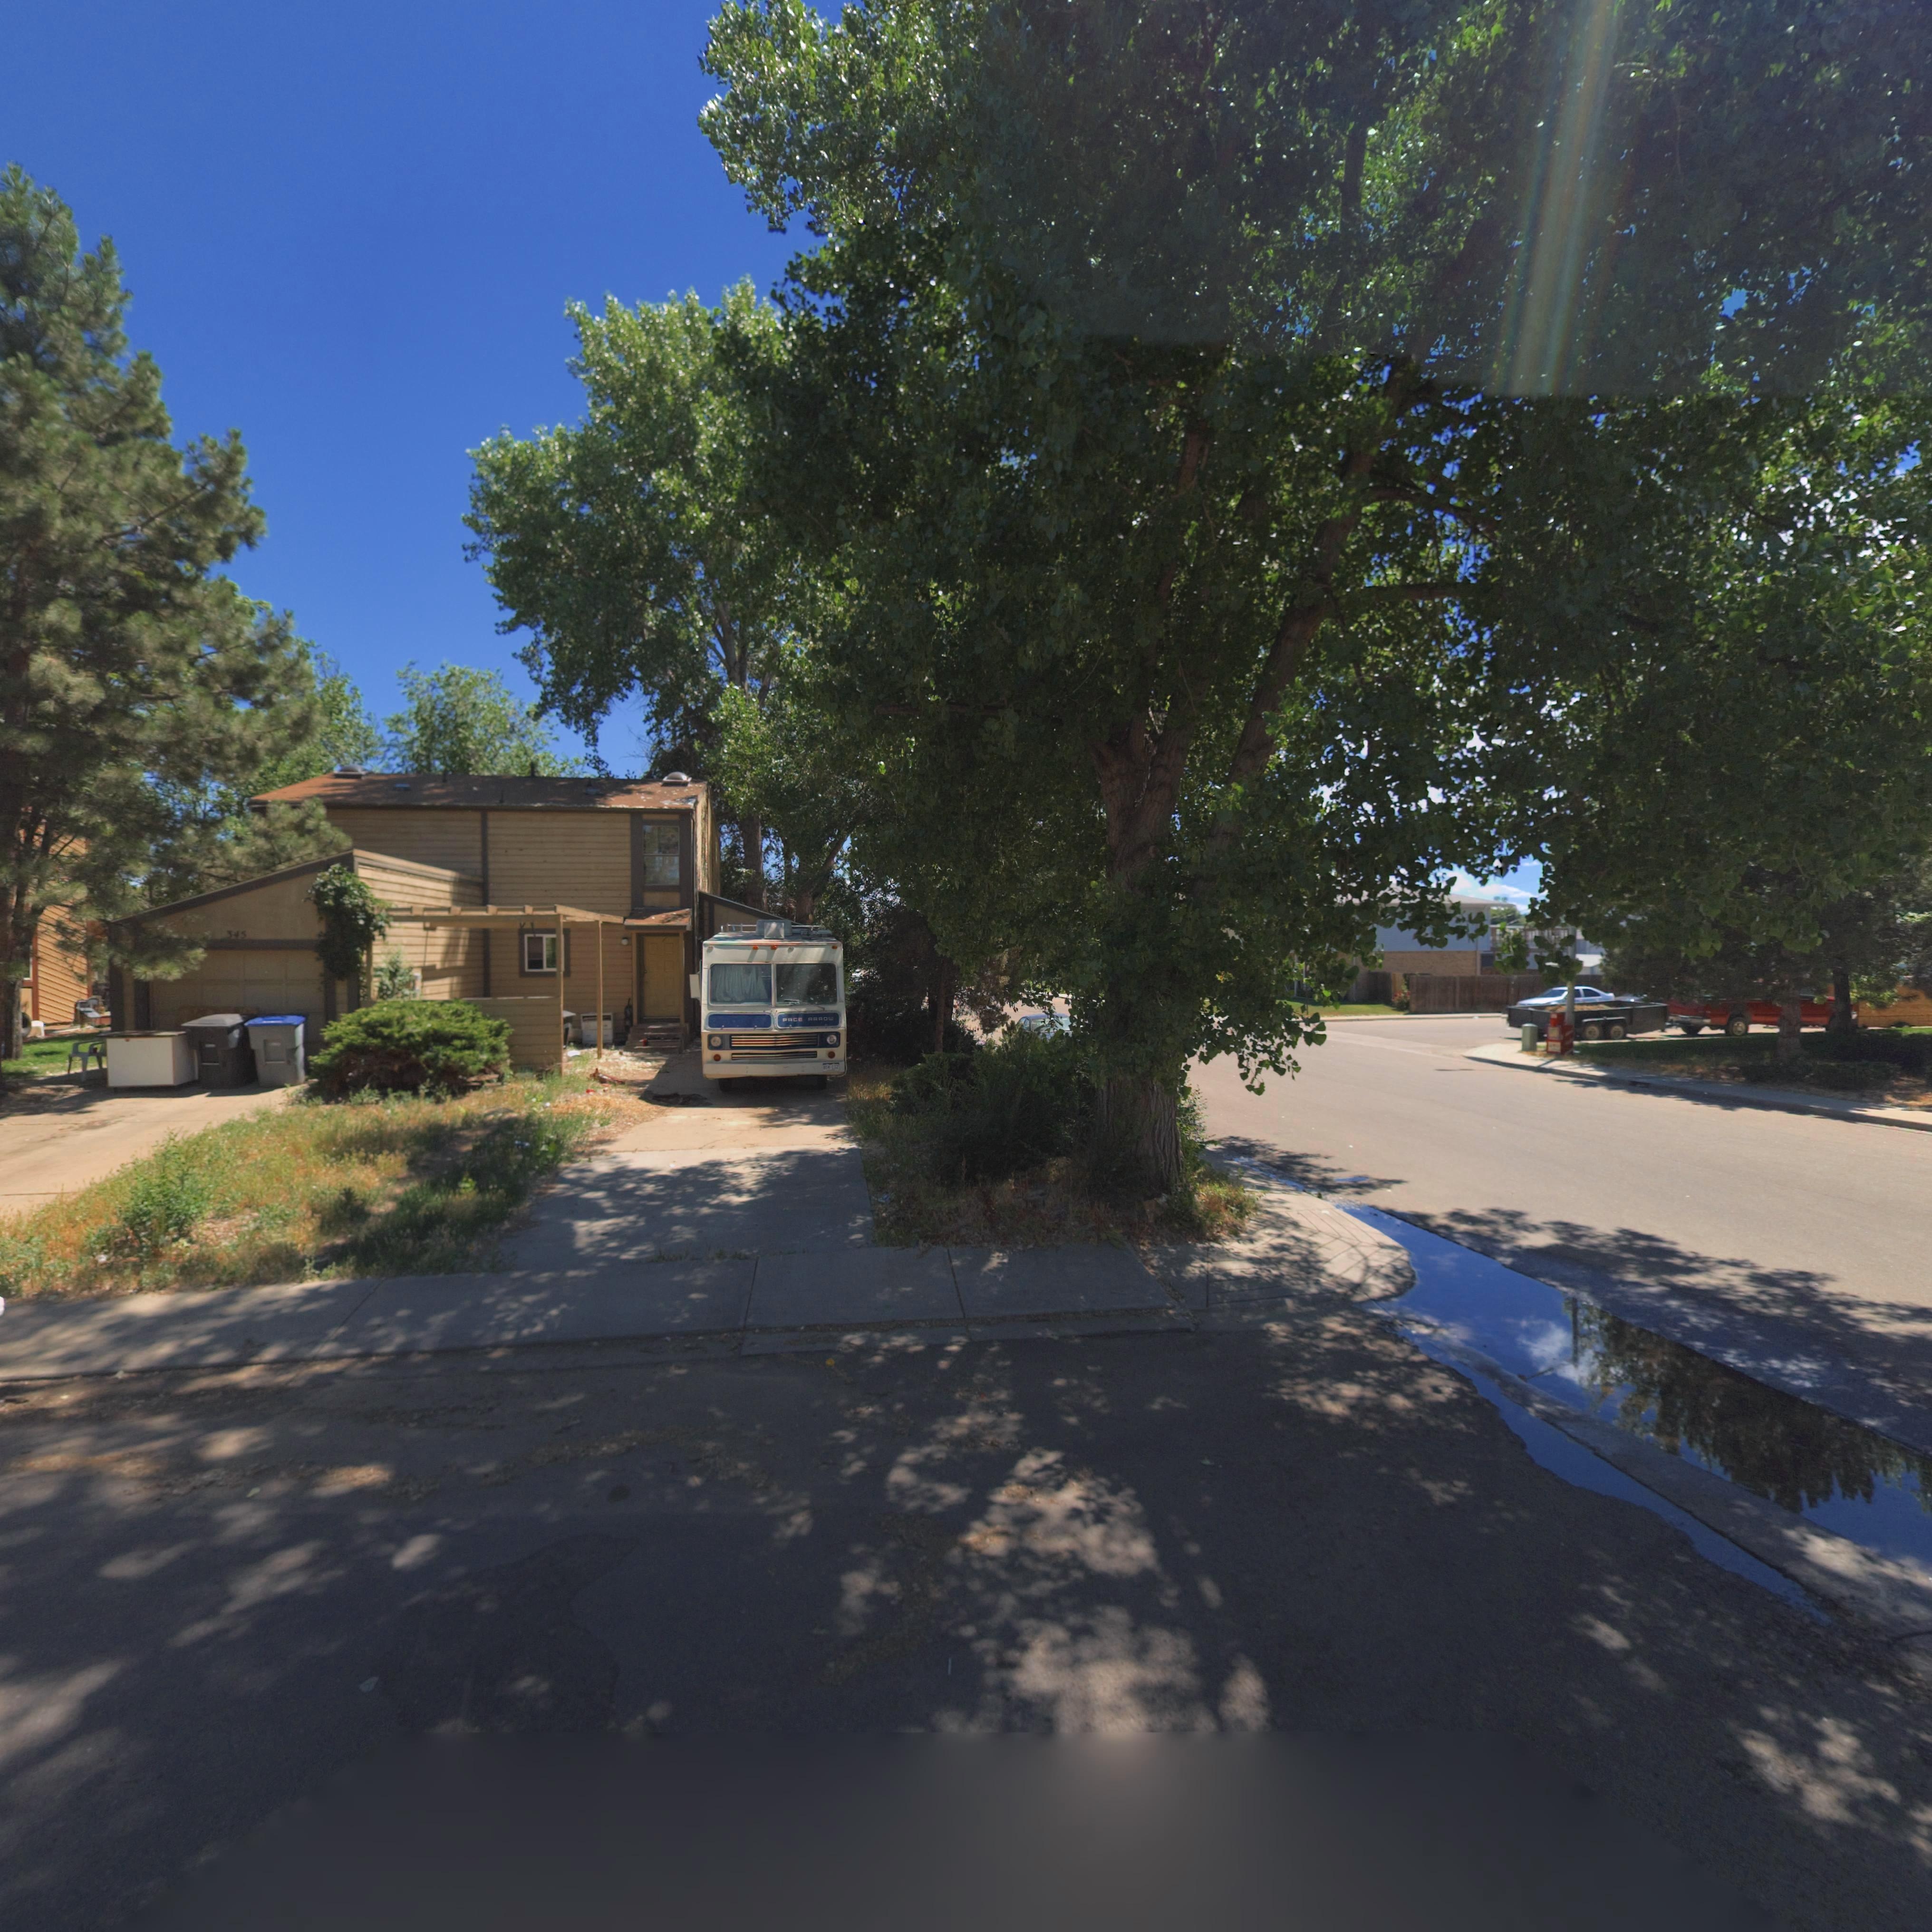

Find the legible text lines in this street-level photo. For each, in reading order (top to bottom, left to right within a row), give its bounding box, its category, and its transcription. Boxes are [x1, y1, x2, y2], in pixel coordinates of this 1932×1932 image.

[225, 929, 247, 939] StreetNumber: 345